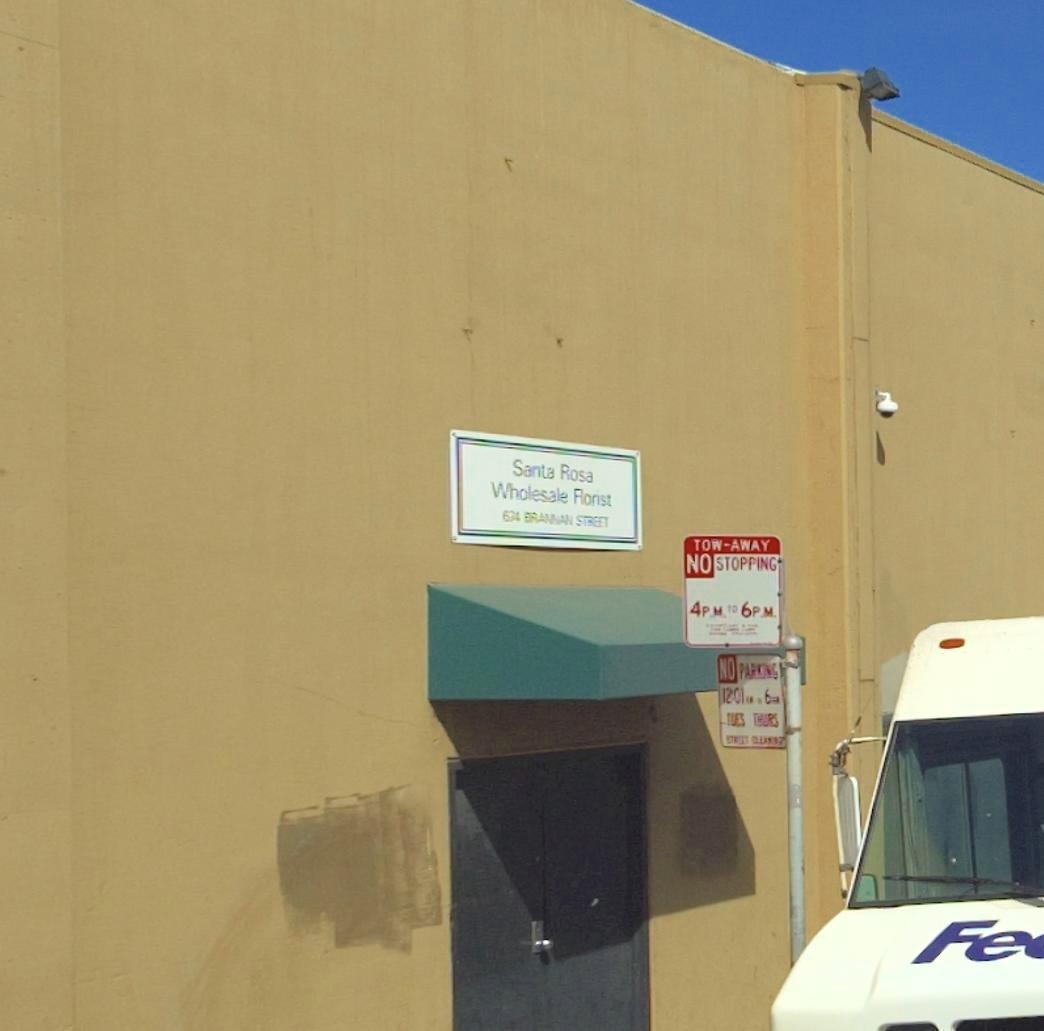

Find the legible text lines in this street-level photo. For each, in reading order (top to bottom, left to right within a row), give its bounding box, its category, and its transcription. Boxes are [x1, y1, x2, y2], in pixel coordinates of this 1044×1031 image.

[510, 453, 596, 487] BusinessName: Santa Rosa
[488, 477, 609, 509] BusinessName: Wholesale Floris
[501, 507, 523, 525] StreetNumber: 674
[522, 510, 611, 530] StreetName: BRANNAN STREET
[691, 536, 775, 555] None: TOW-AWAY
[683, 550, 781, 577] None: NO STOPPING
[687, 598, 780, 621] None: 4P.M. TO 6P.M.
[716, 654, 781, 684] None: NO PAR**NG
[718, 685, 747, 708] None: 12:01
[762, 686, 773, 707] None: 6
[723, 710, 782, 730] None: TUES THURS
[902, 914, 1038, 968] None: Fe